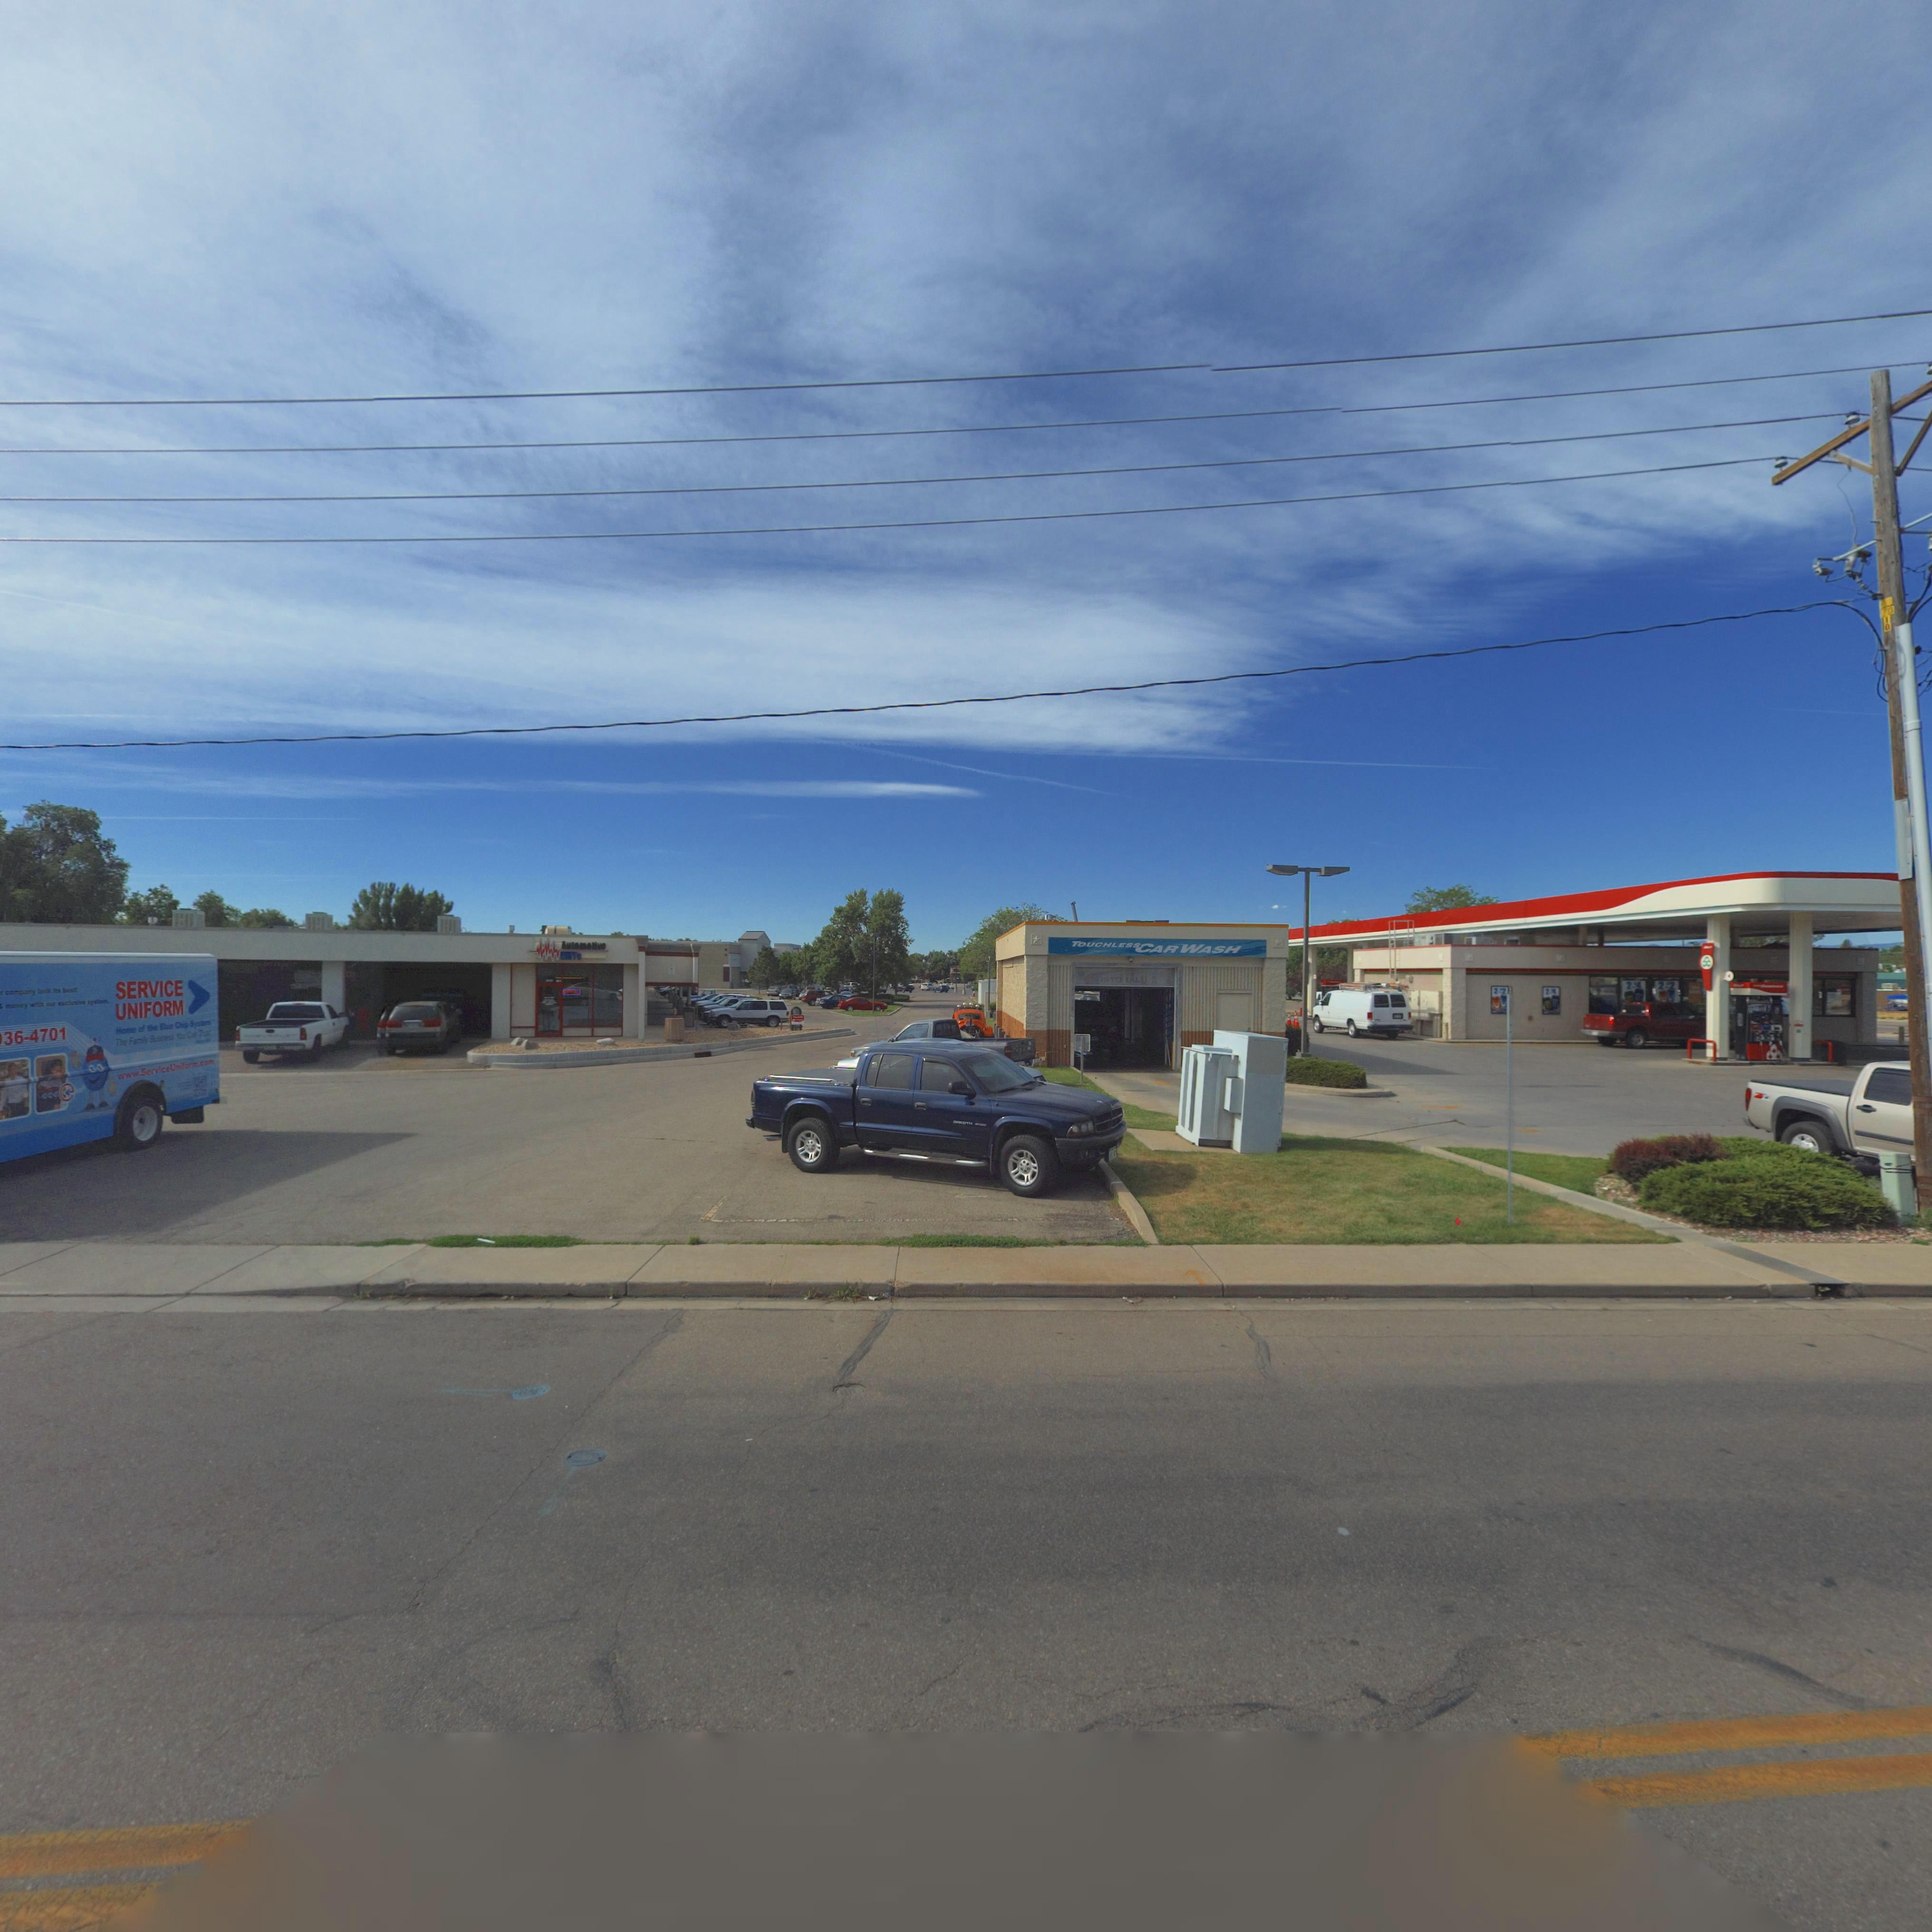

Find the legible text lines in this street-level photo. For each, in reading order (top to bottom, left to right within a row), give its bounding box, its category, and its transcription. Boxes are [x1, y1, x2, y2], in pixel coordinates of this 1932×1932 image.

[560, 940, 607, 950] BusinessName: Automotive
[560, 950, 582, 961] BusinessName: ****S